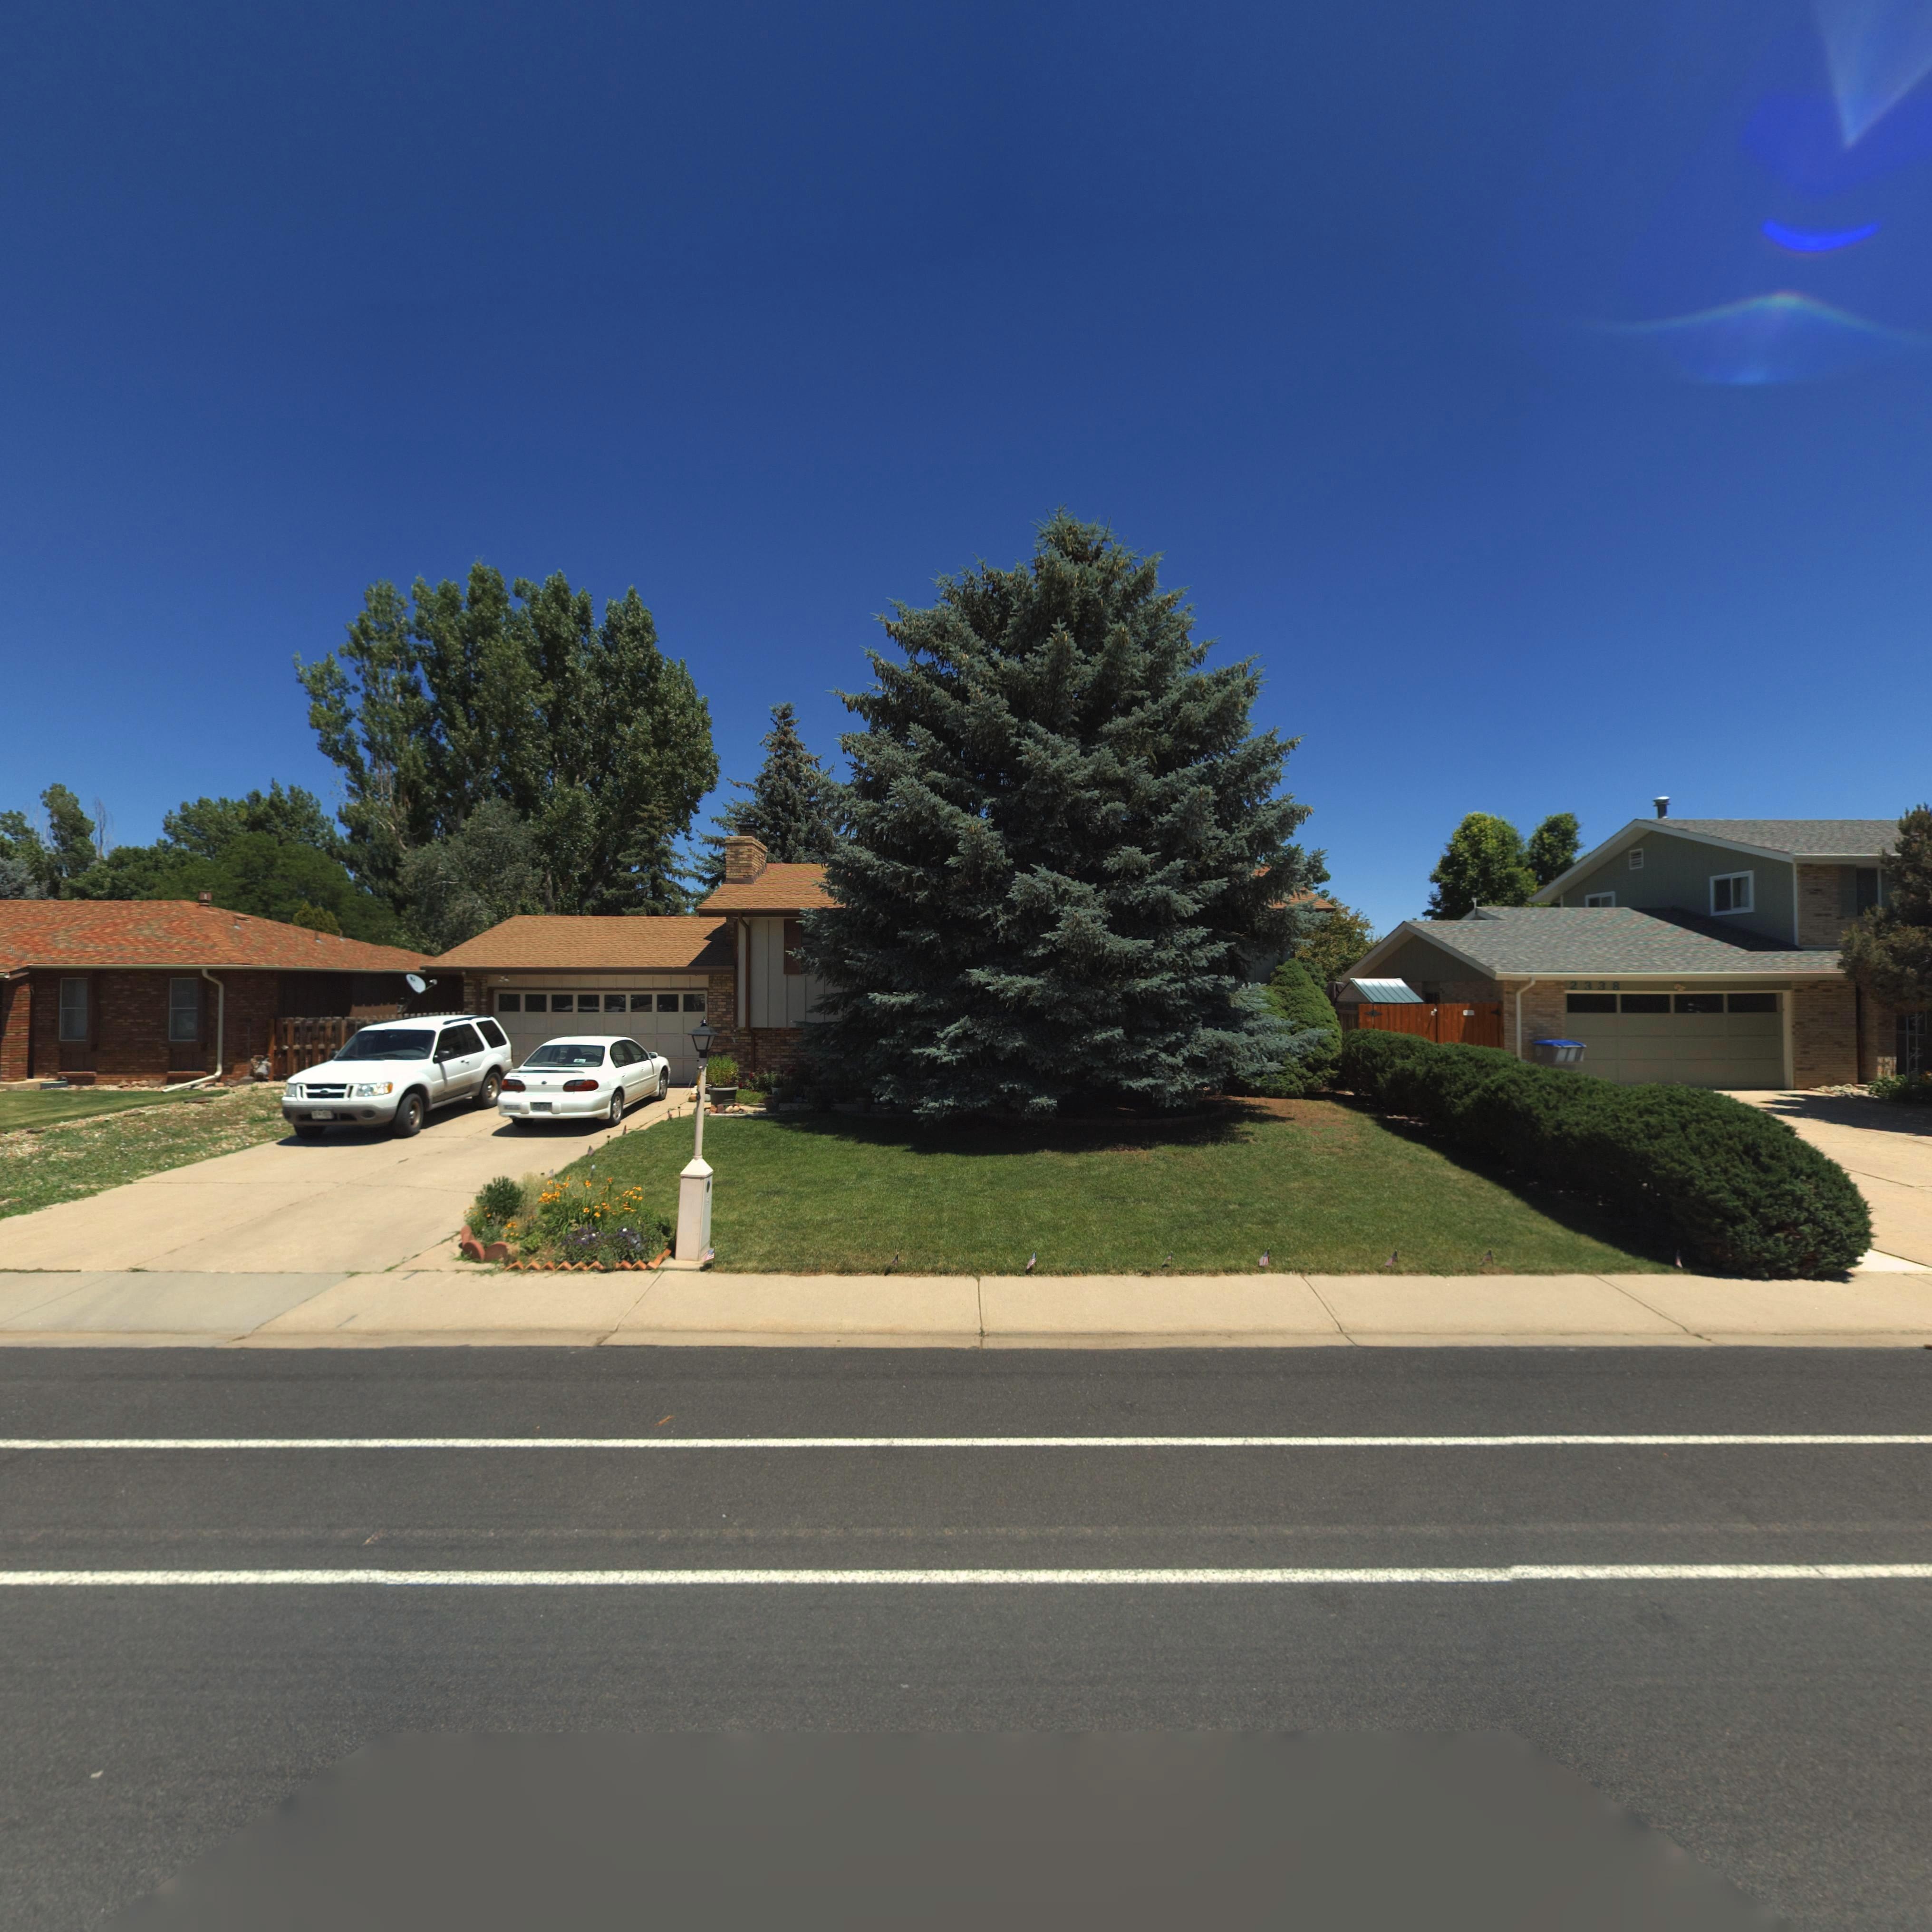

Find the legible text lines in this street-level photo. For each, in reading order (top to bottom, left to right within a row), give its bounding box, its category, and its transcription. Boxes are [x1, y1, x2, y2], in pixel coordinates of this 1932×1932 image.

[1569, 980, 1619, 990] StreetNumber: 2338